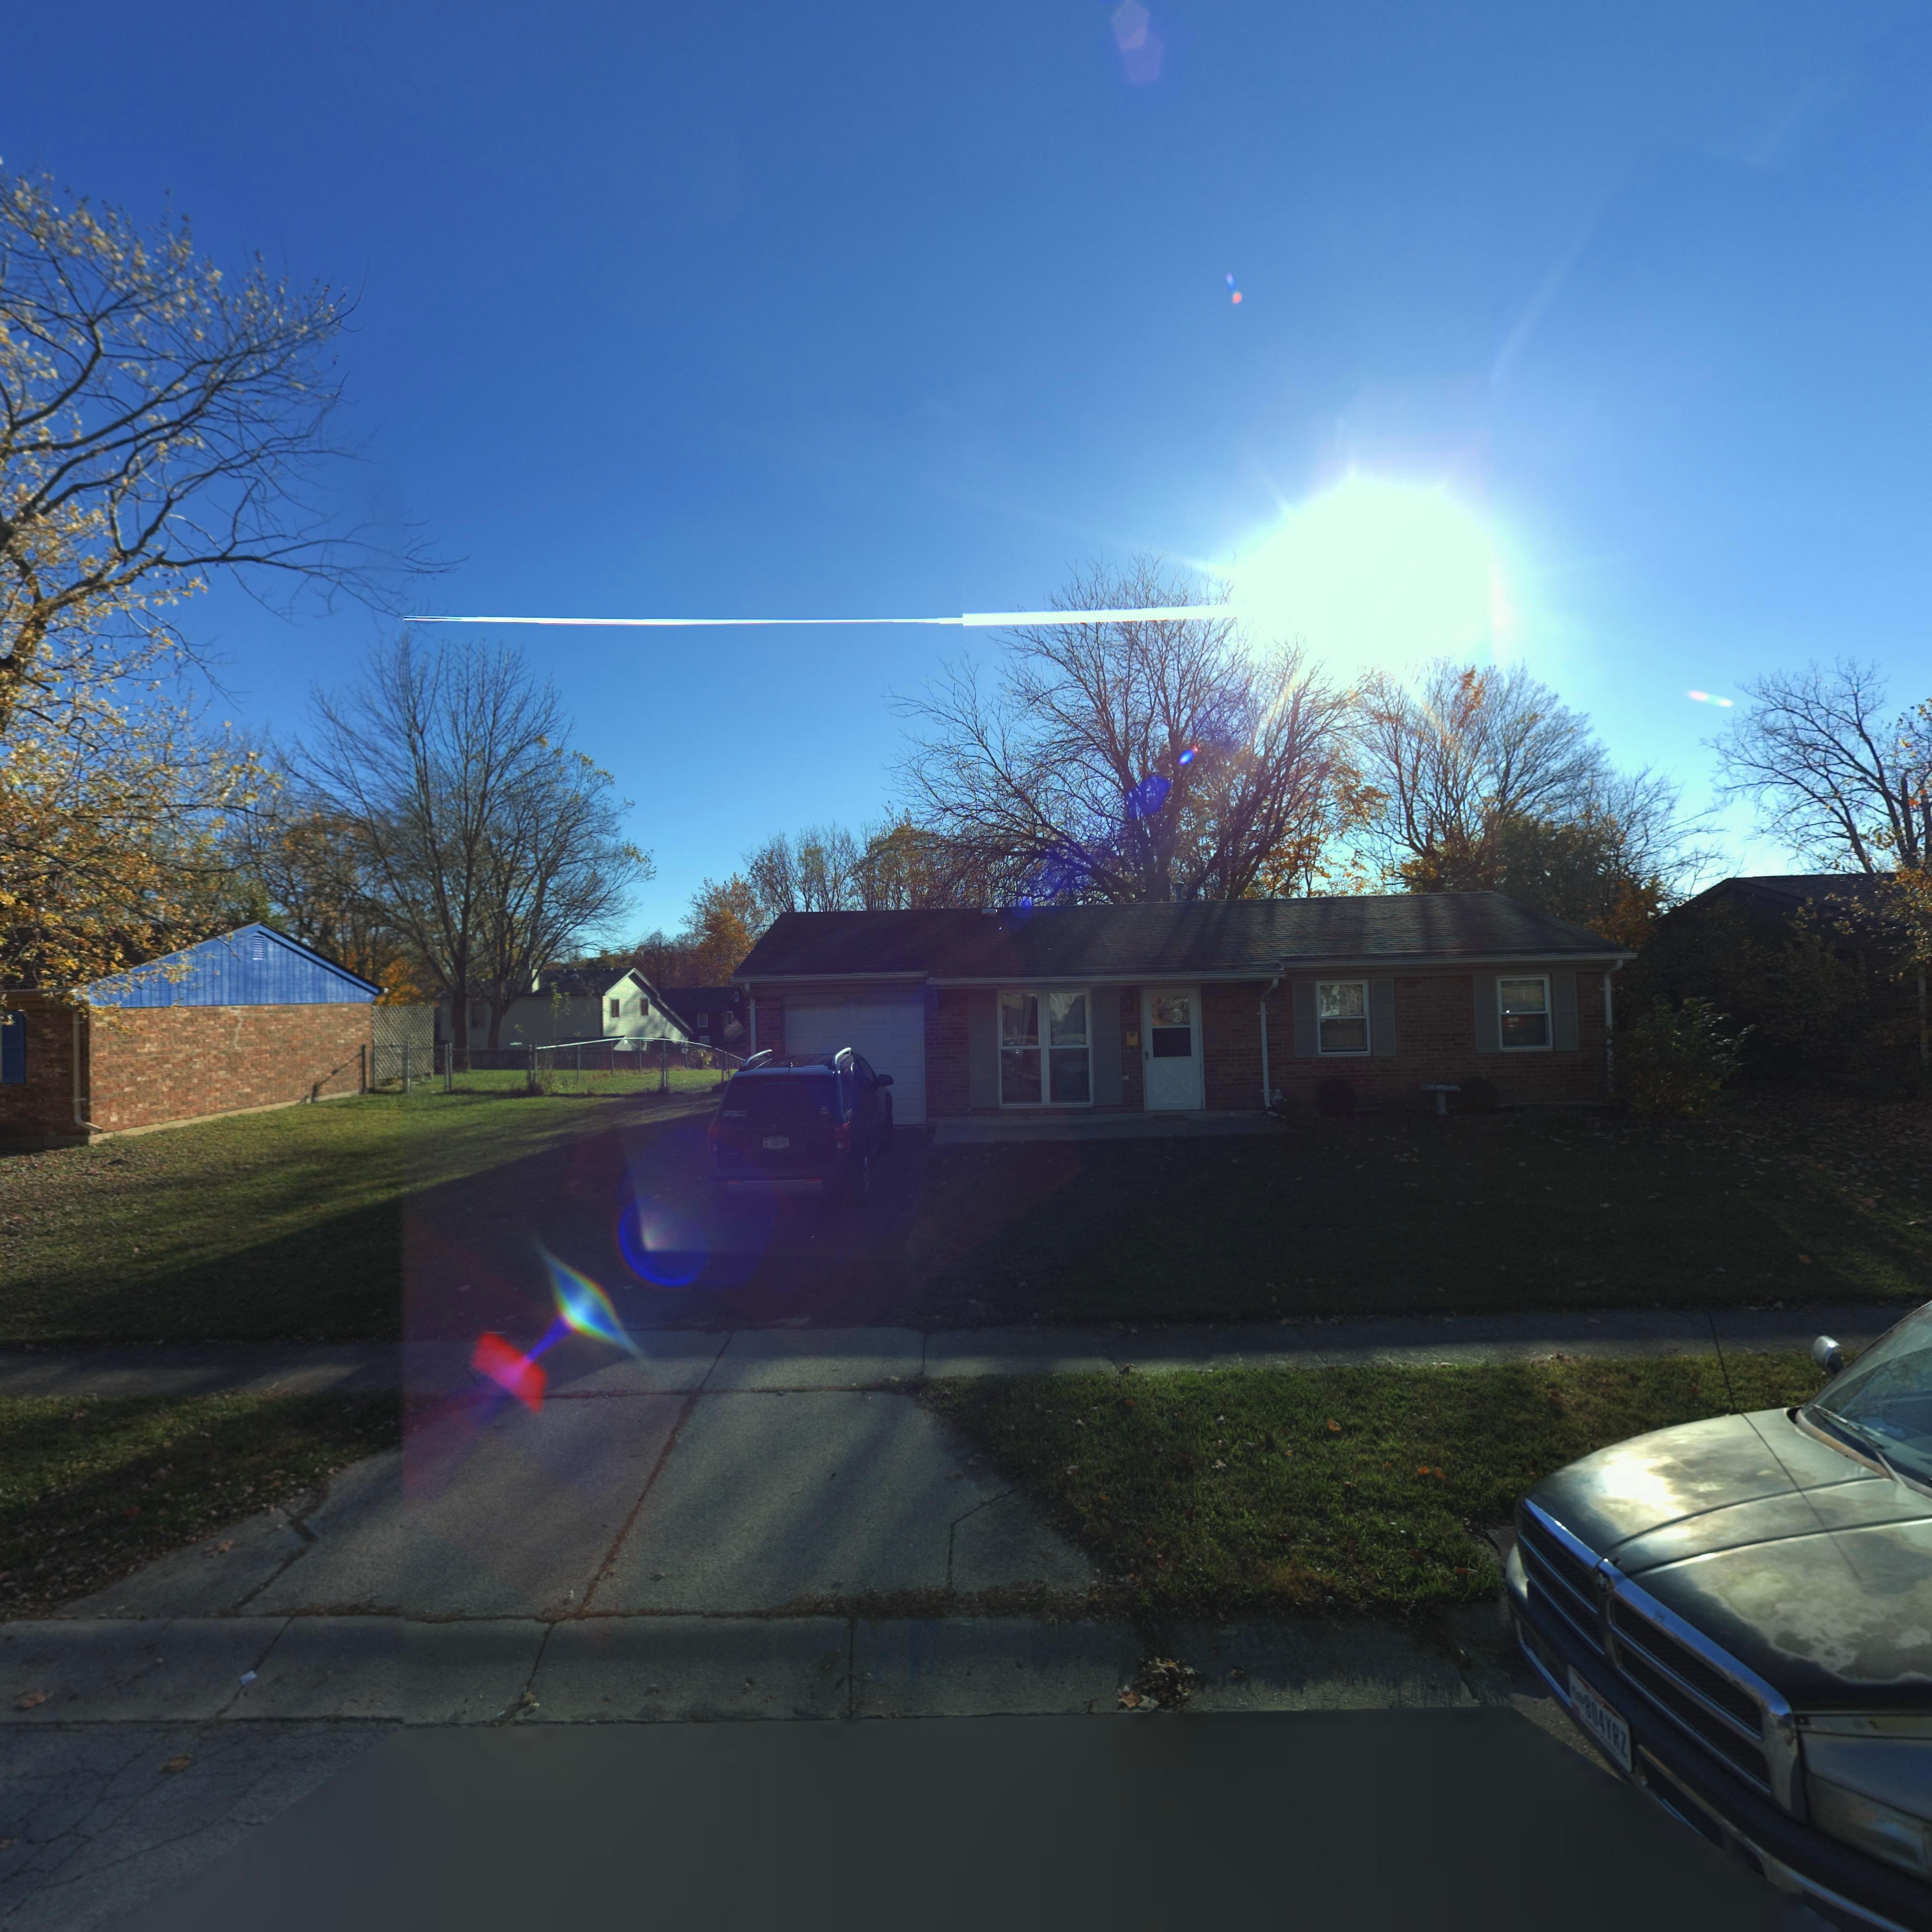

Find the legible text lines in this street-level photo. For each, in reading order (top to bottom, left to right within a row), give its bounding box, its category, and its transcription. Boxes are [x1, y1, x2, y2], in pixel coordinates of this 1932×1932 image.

[844, 994, 863, 1002] StreetNumber: 5026